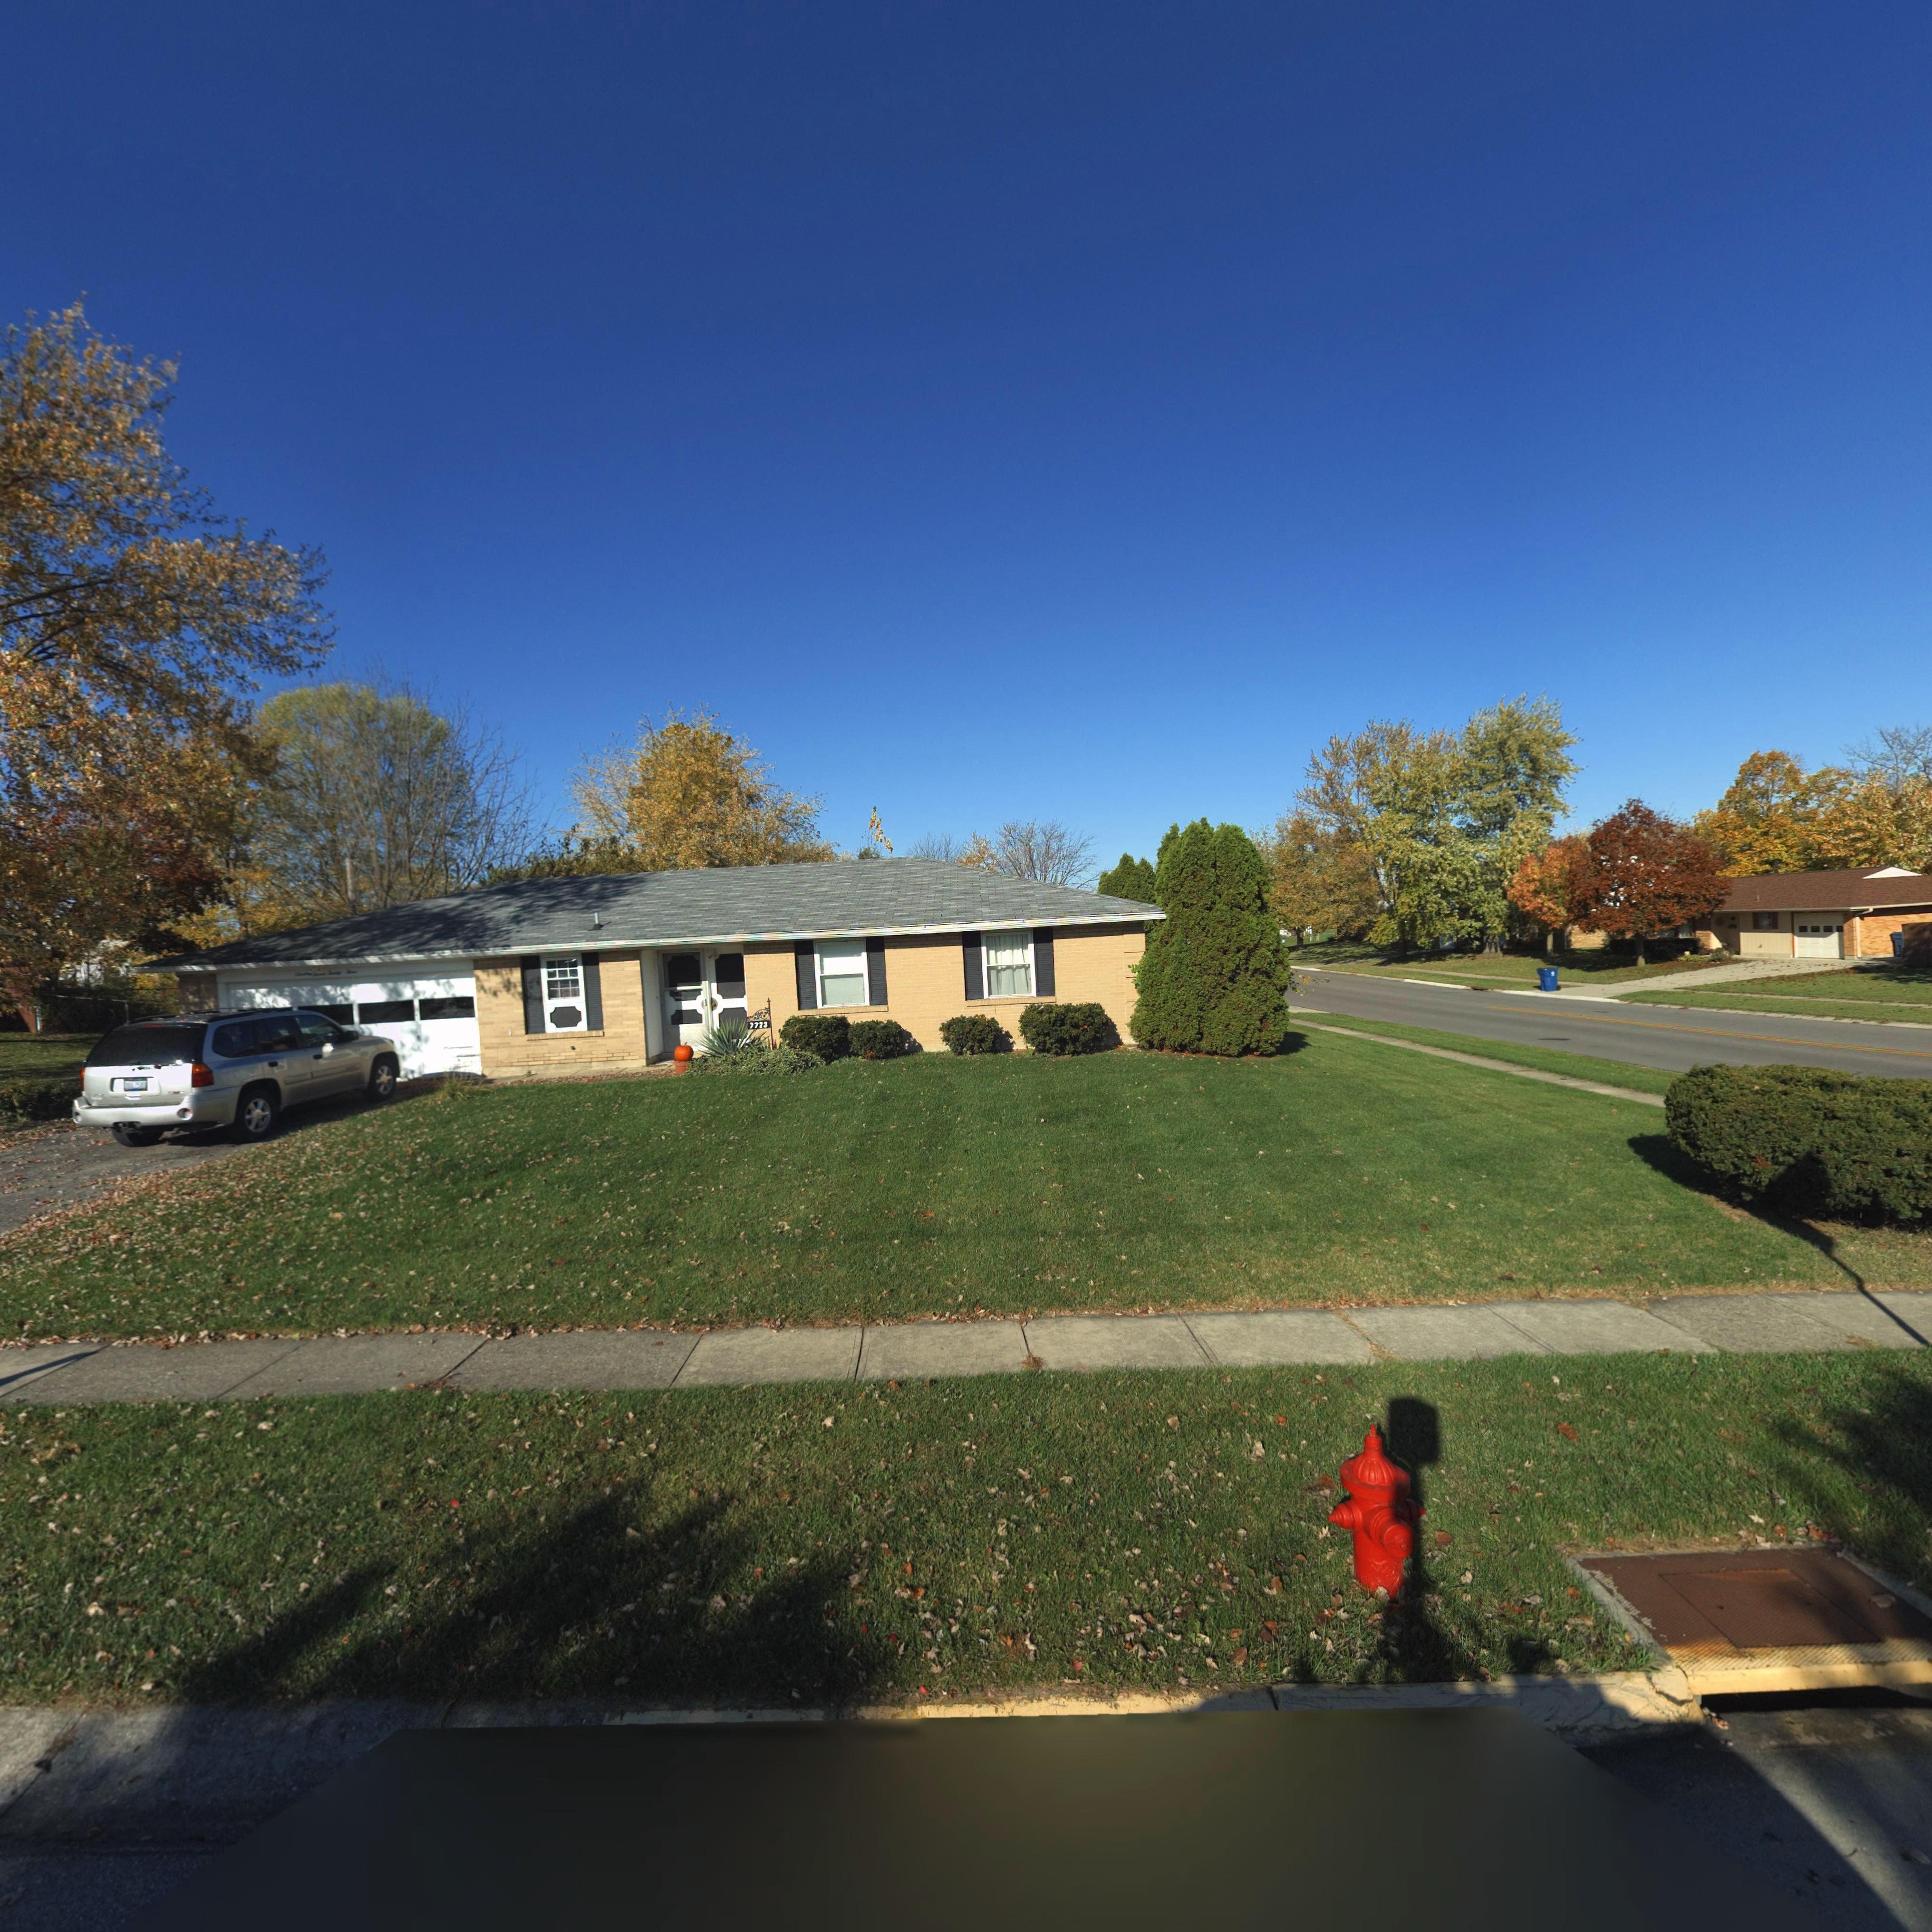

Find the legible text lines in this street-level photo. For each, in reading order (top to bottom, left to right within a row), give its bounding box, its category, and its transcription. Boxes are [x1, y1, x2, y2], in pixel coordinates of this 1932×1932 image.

[748, 1020, 769, 1030] StreetNumber: 7723